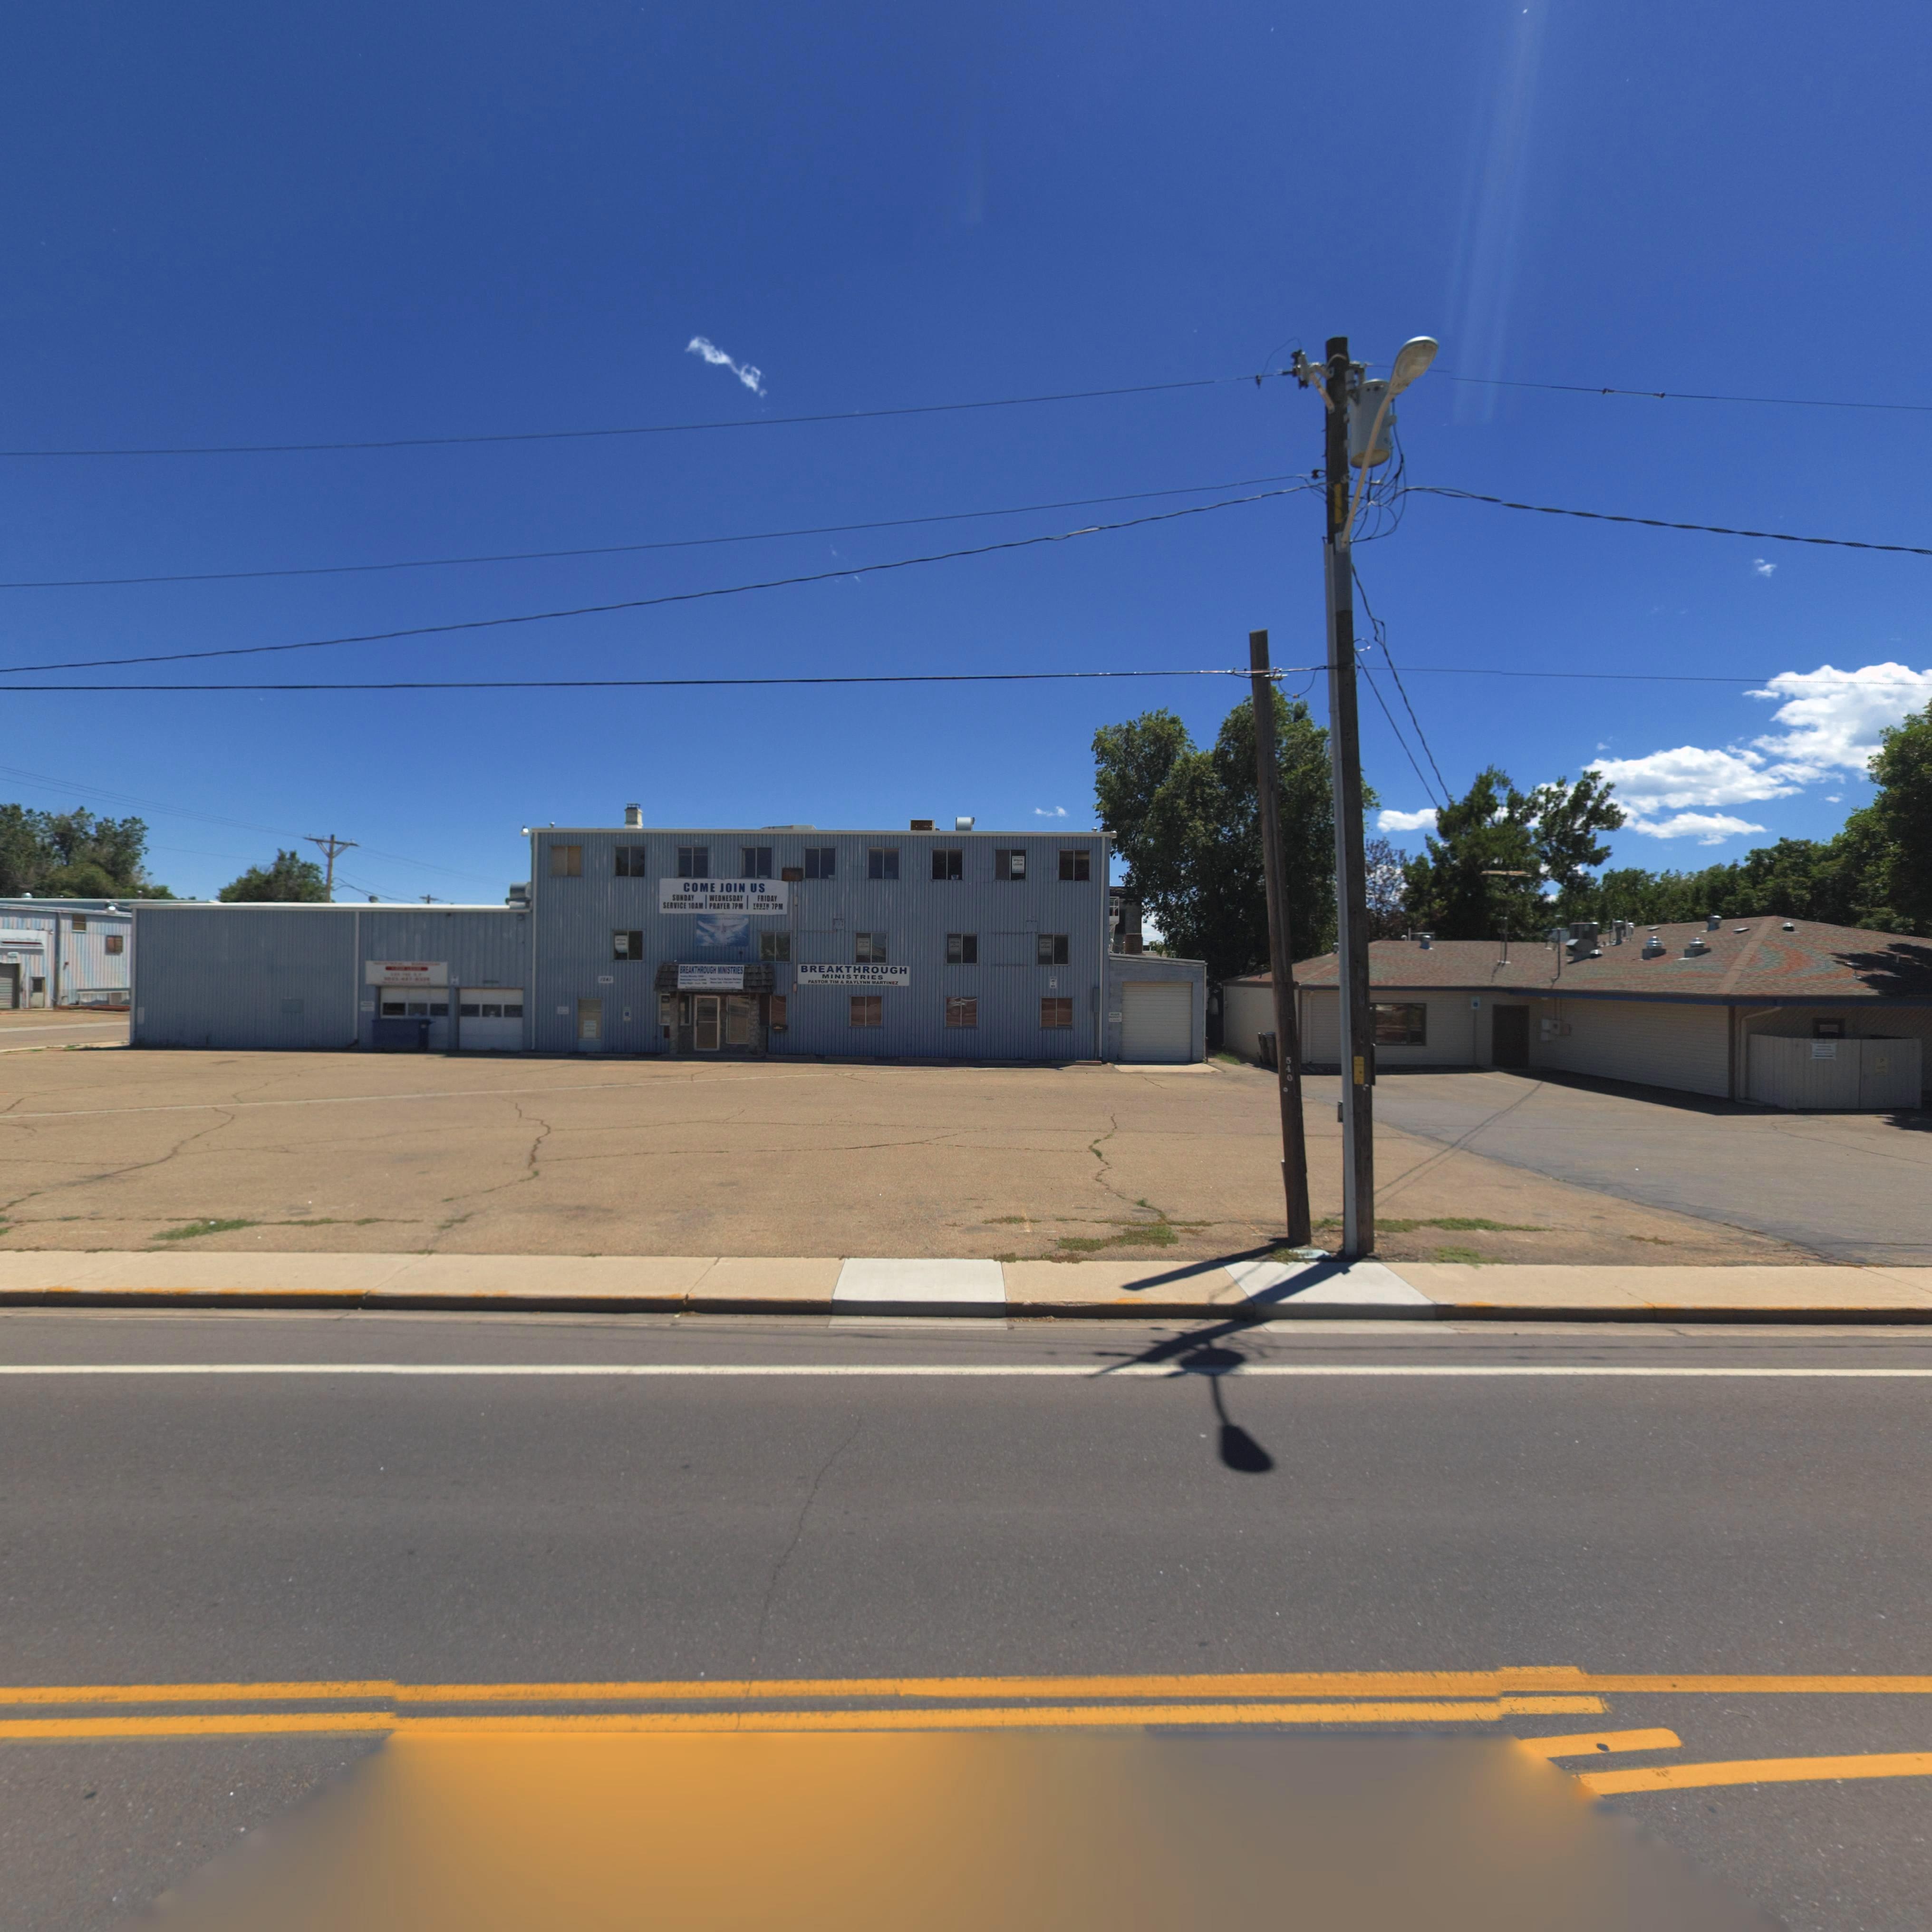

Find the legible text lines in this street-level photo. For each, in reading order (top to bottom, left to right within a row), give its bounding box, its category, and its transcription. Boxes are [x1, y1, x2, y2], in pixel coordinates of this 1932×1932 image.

[679, 965, 743, 974] BusinessName: BREAKTHROUGH MINISTRIES
[801, 965, 907, 974] BusinessName: BREAKTHROUGH
[599, 976, 612, 981] StreetNumber: 124*
[822, 974, 883, 980] BusinessName: MINISTRIES